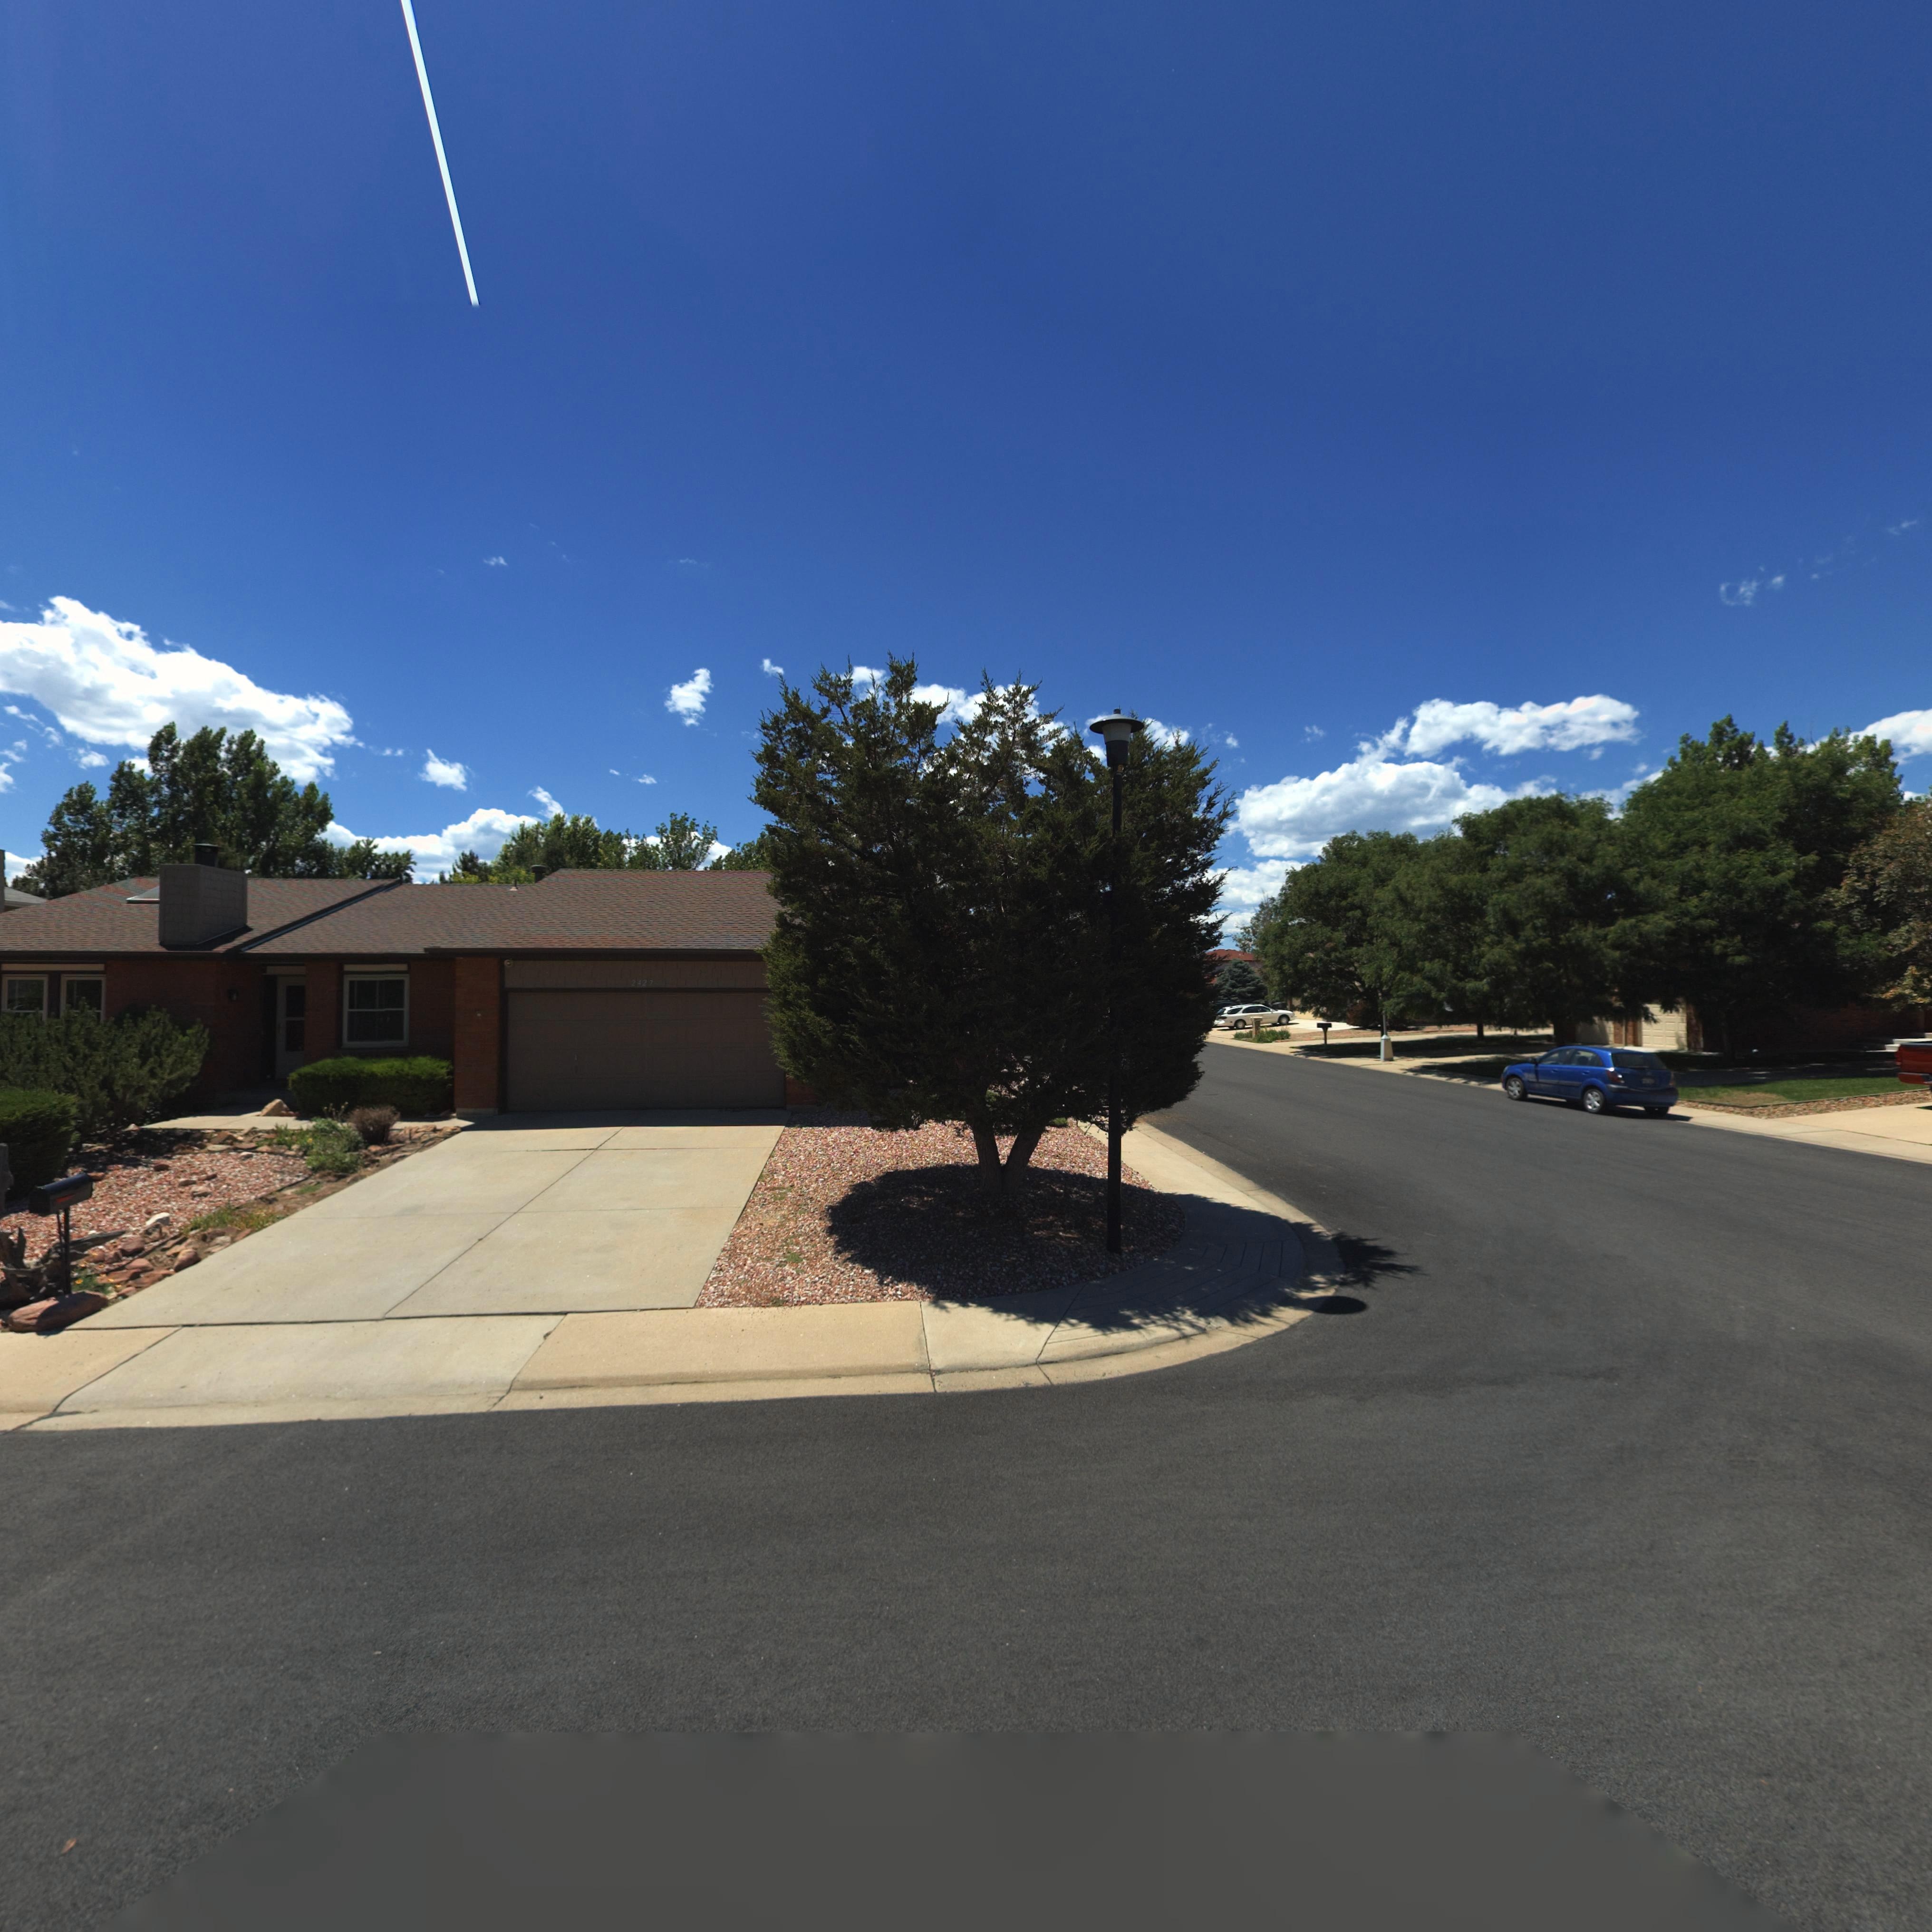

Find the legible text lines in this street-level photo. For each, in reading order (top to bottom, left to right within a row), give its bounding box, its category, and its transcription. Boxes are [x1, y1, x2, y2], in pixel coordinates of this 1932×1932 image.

[630, 979, 654, 987] StreetNumber: 2427